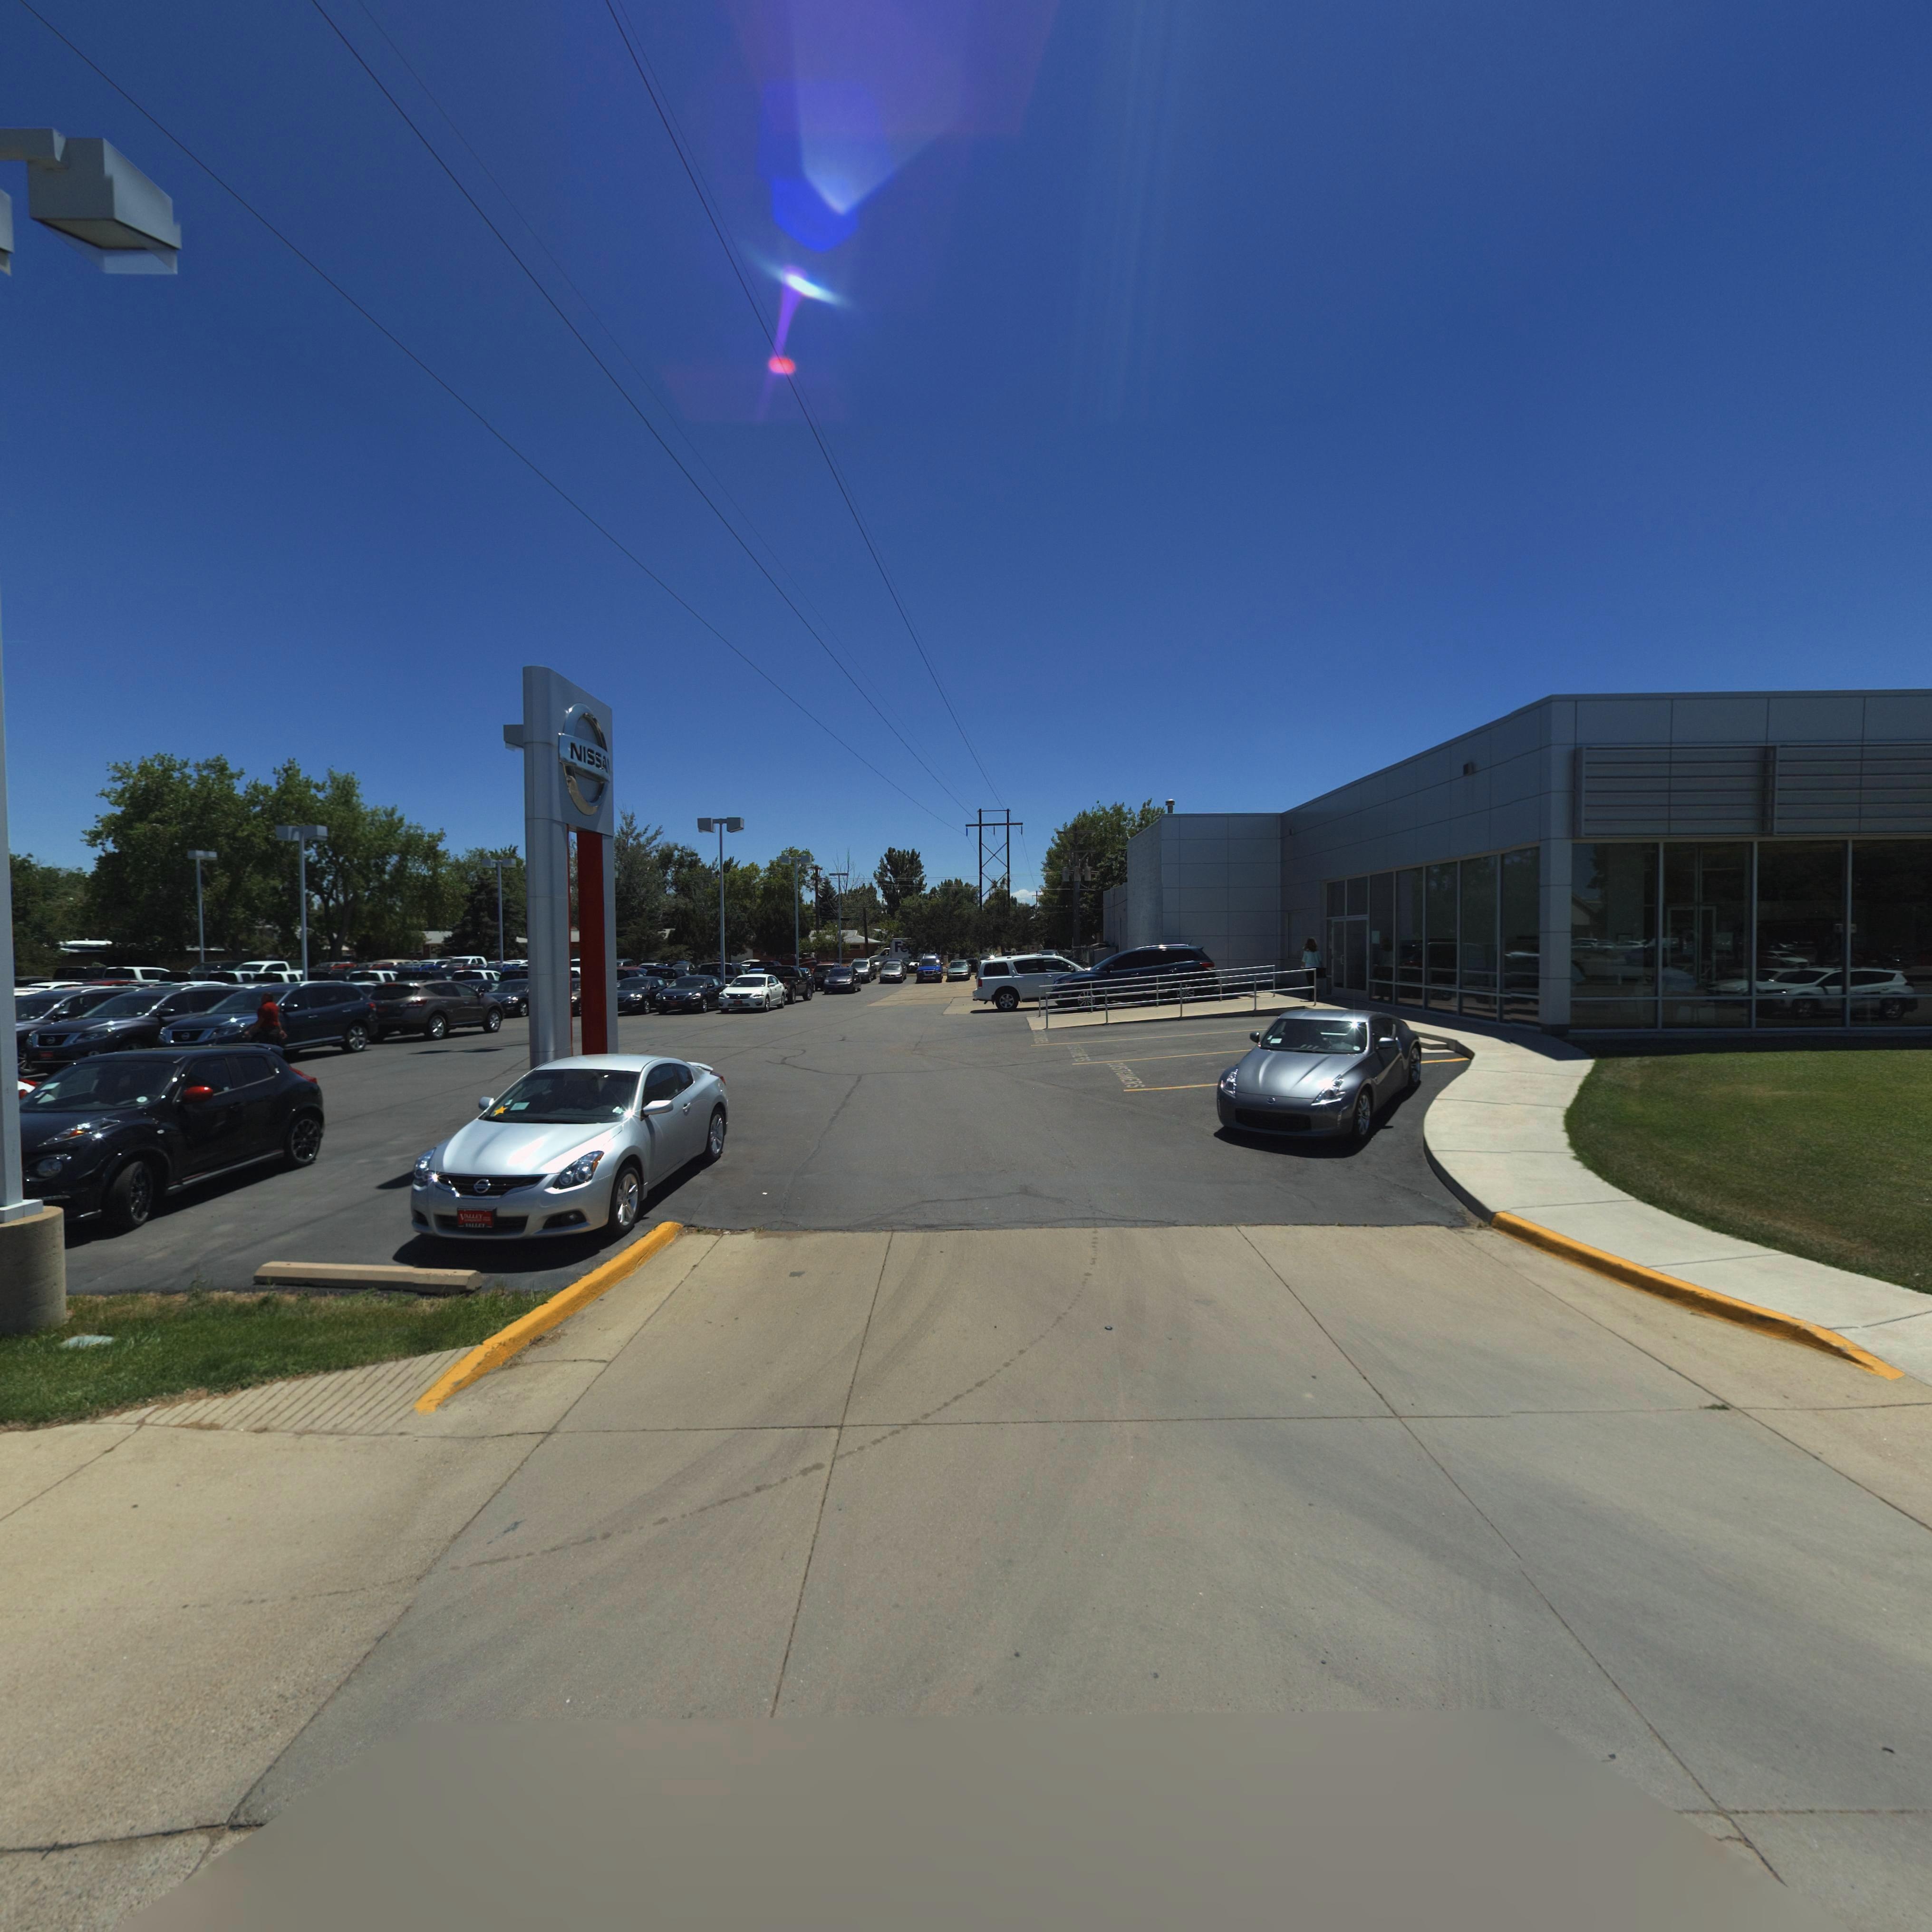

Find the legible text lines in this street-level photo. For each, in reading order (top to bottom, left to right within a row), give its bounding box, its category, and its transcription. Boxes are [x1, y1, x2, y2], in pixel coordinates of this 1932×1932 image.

[570, 741, 608, 773] BusinessName: NISSA